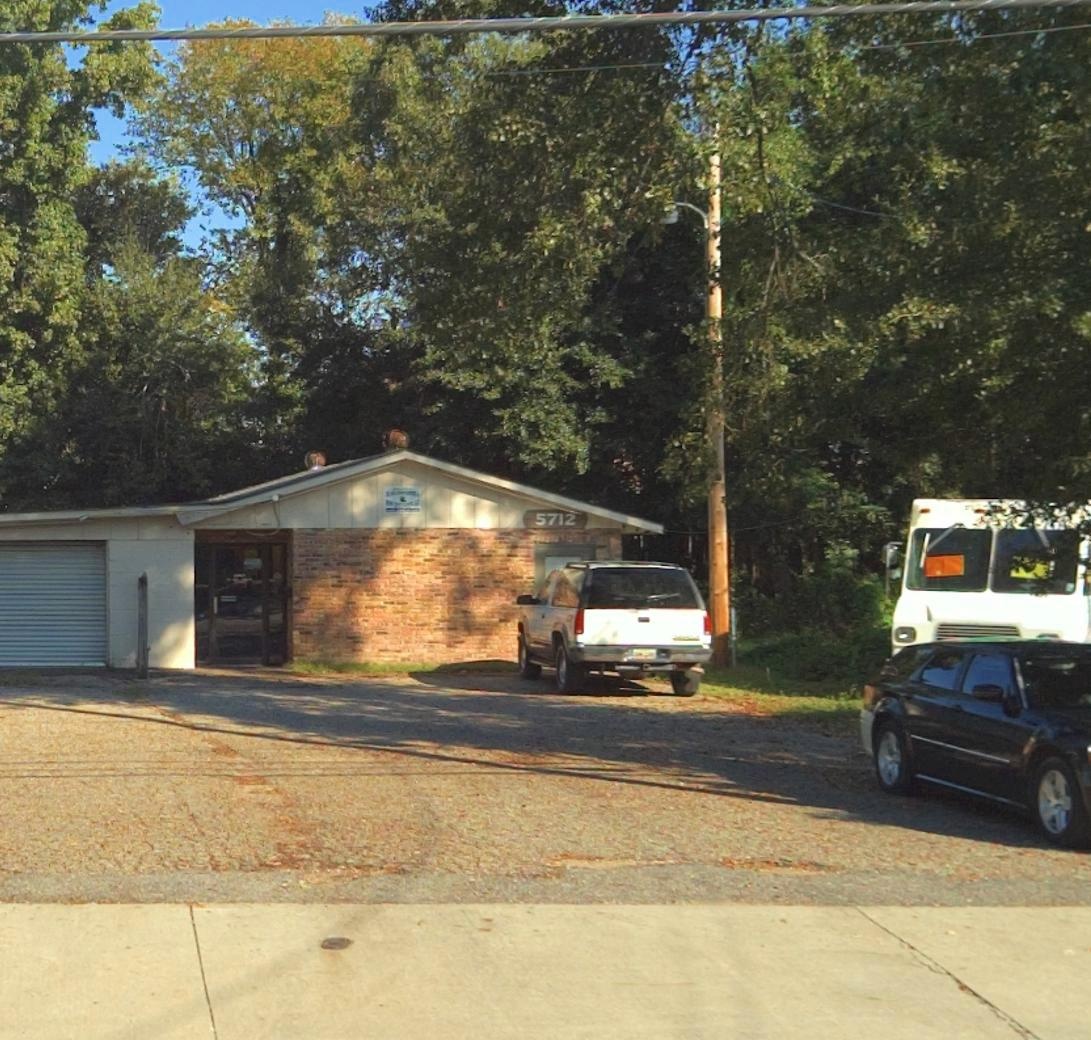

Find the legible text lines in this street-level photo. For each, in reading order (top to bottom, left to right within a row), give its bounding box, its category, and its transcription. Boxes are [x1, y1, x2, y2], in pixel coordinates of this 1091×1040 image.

[535, 512, 576, 526] StreetNumber: 5712